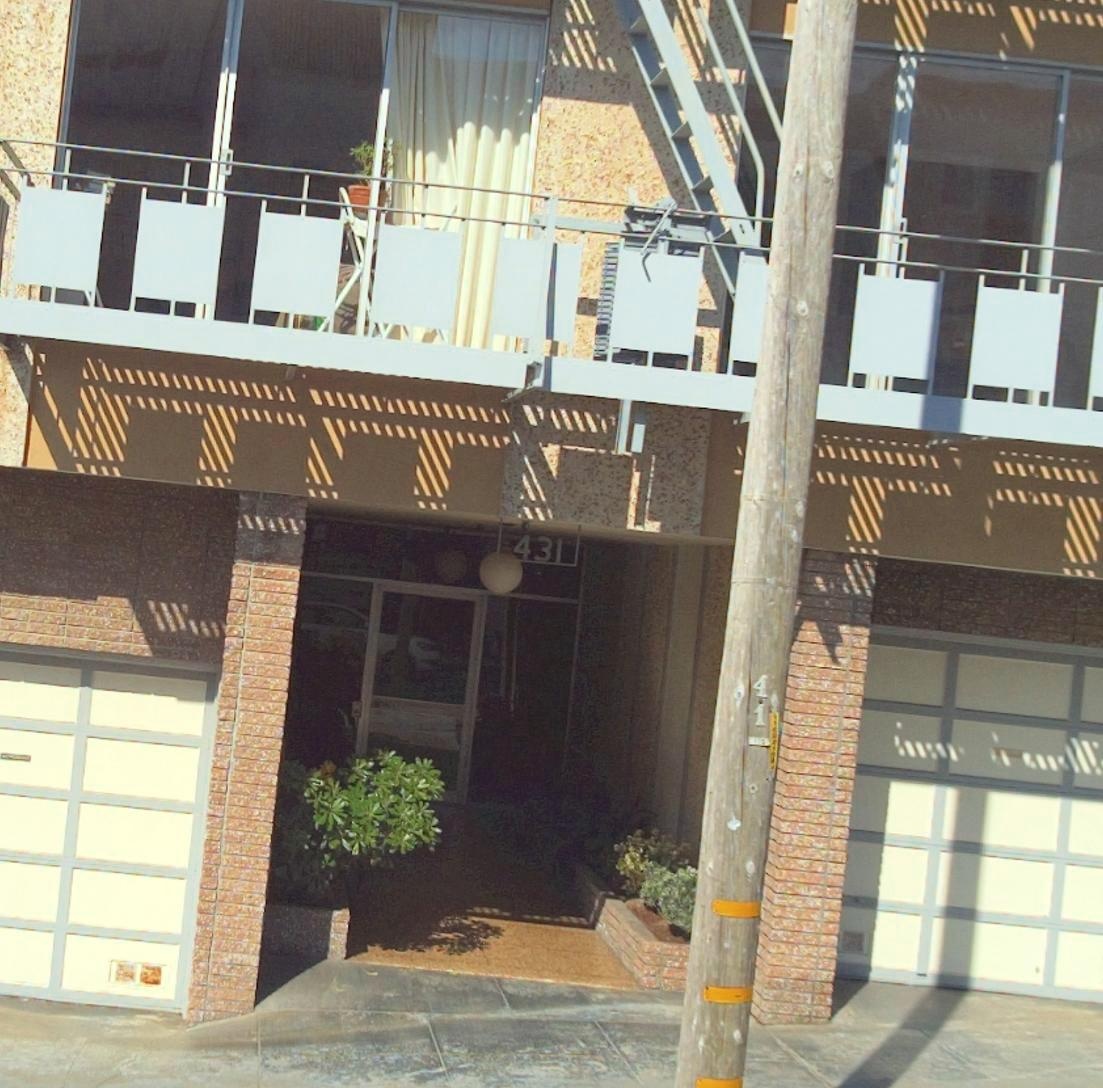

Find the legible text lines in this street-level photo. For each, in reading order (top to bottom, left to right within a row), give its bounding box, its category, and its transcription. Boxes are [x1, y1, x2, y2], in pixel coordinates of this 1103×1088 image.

[510, 530, 566, 567] StreetNumber: 431
[748, 674, 770, 730] None: 41